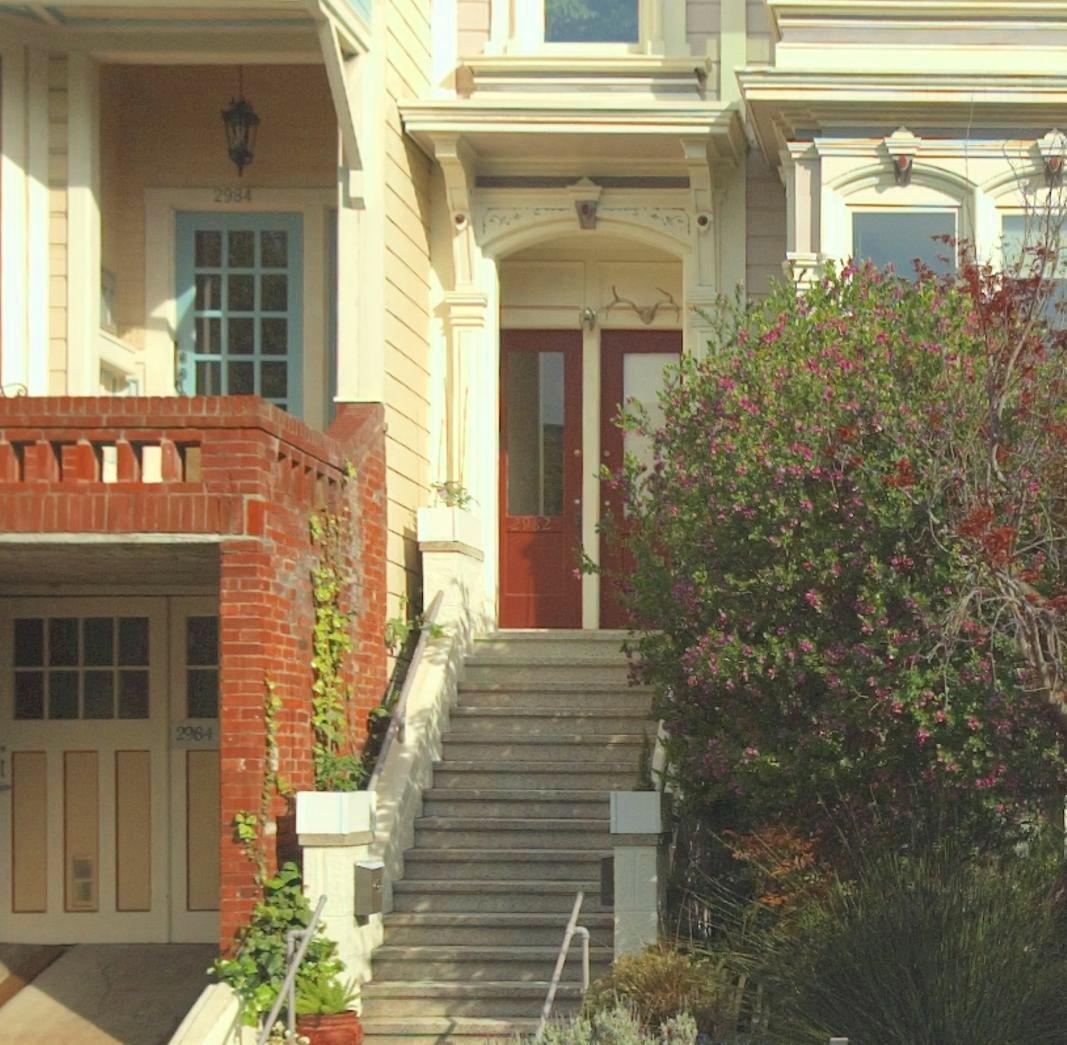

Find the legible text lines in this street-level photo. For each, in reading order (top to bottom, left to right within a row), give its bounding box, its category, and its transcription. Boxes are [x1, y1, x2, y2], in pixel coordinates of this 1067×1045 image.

[211, 182, 256, 206] StreetNumber: 2984
[508, 514, 554, 534] StreetNumber: 2982
[173, 724, 216, 743] StreetNumber: 2984